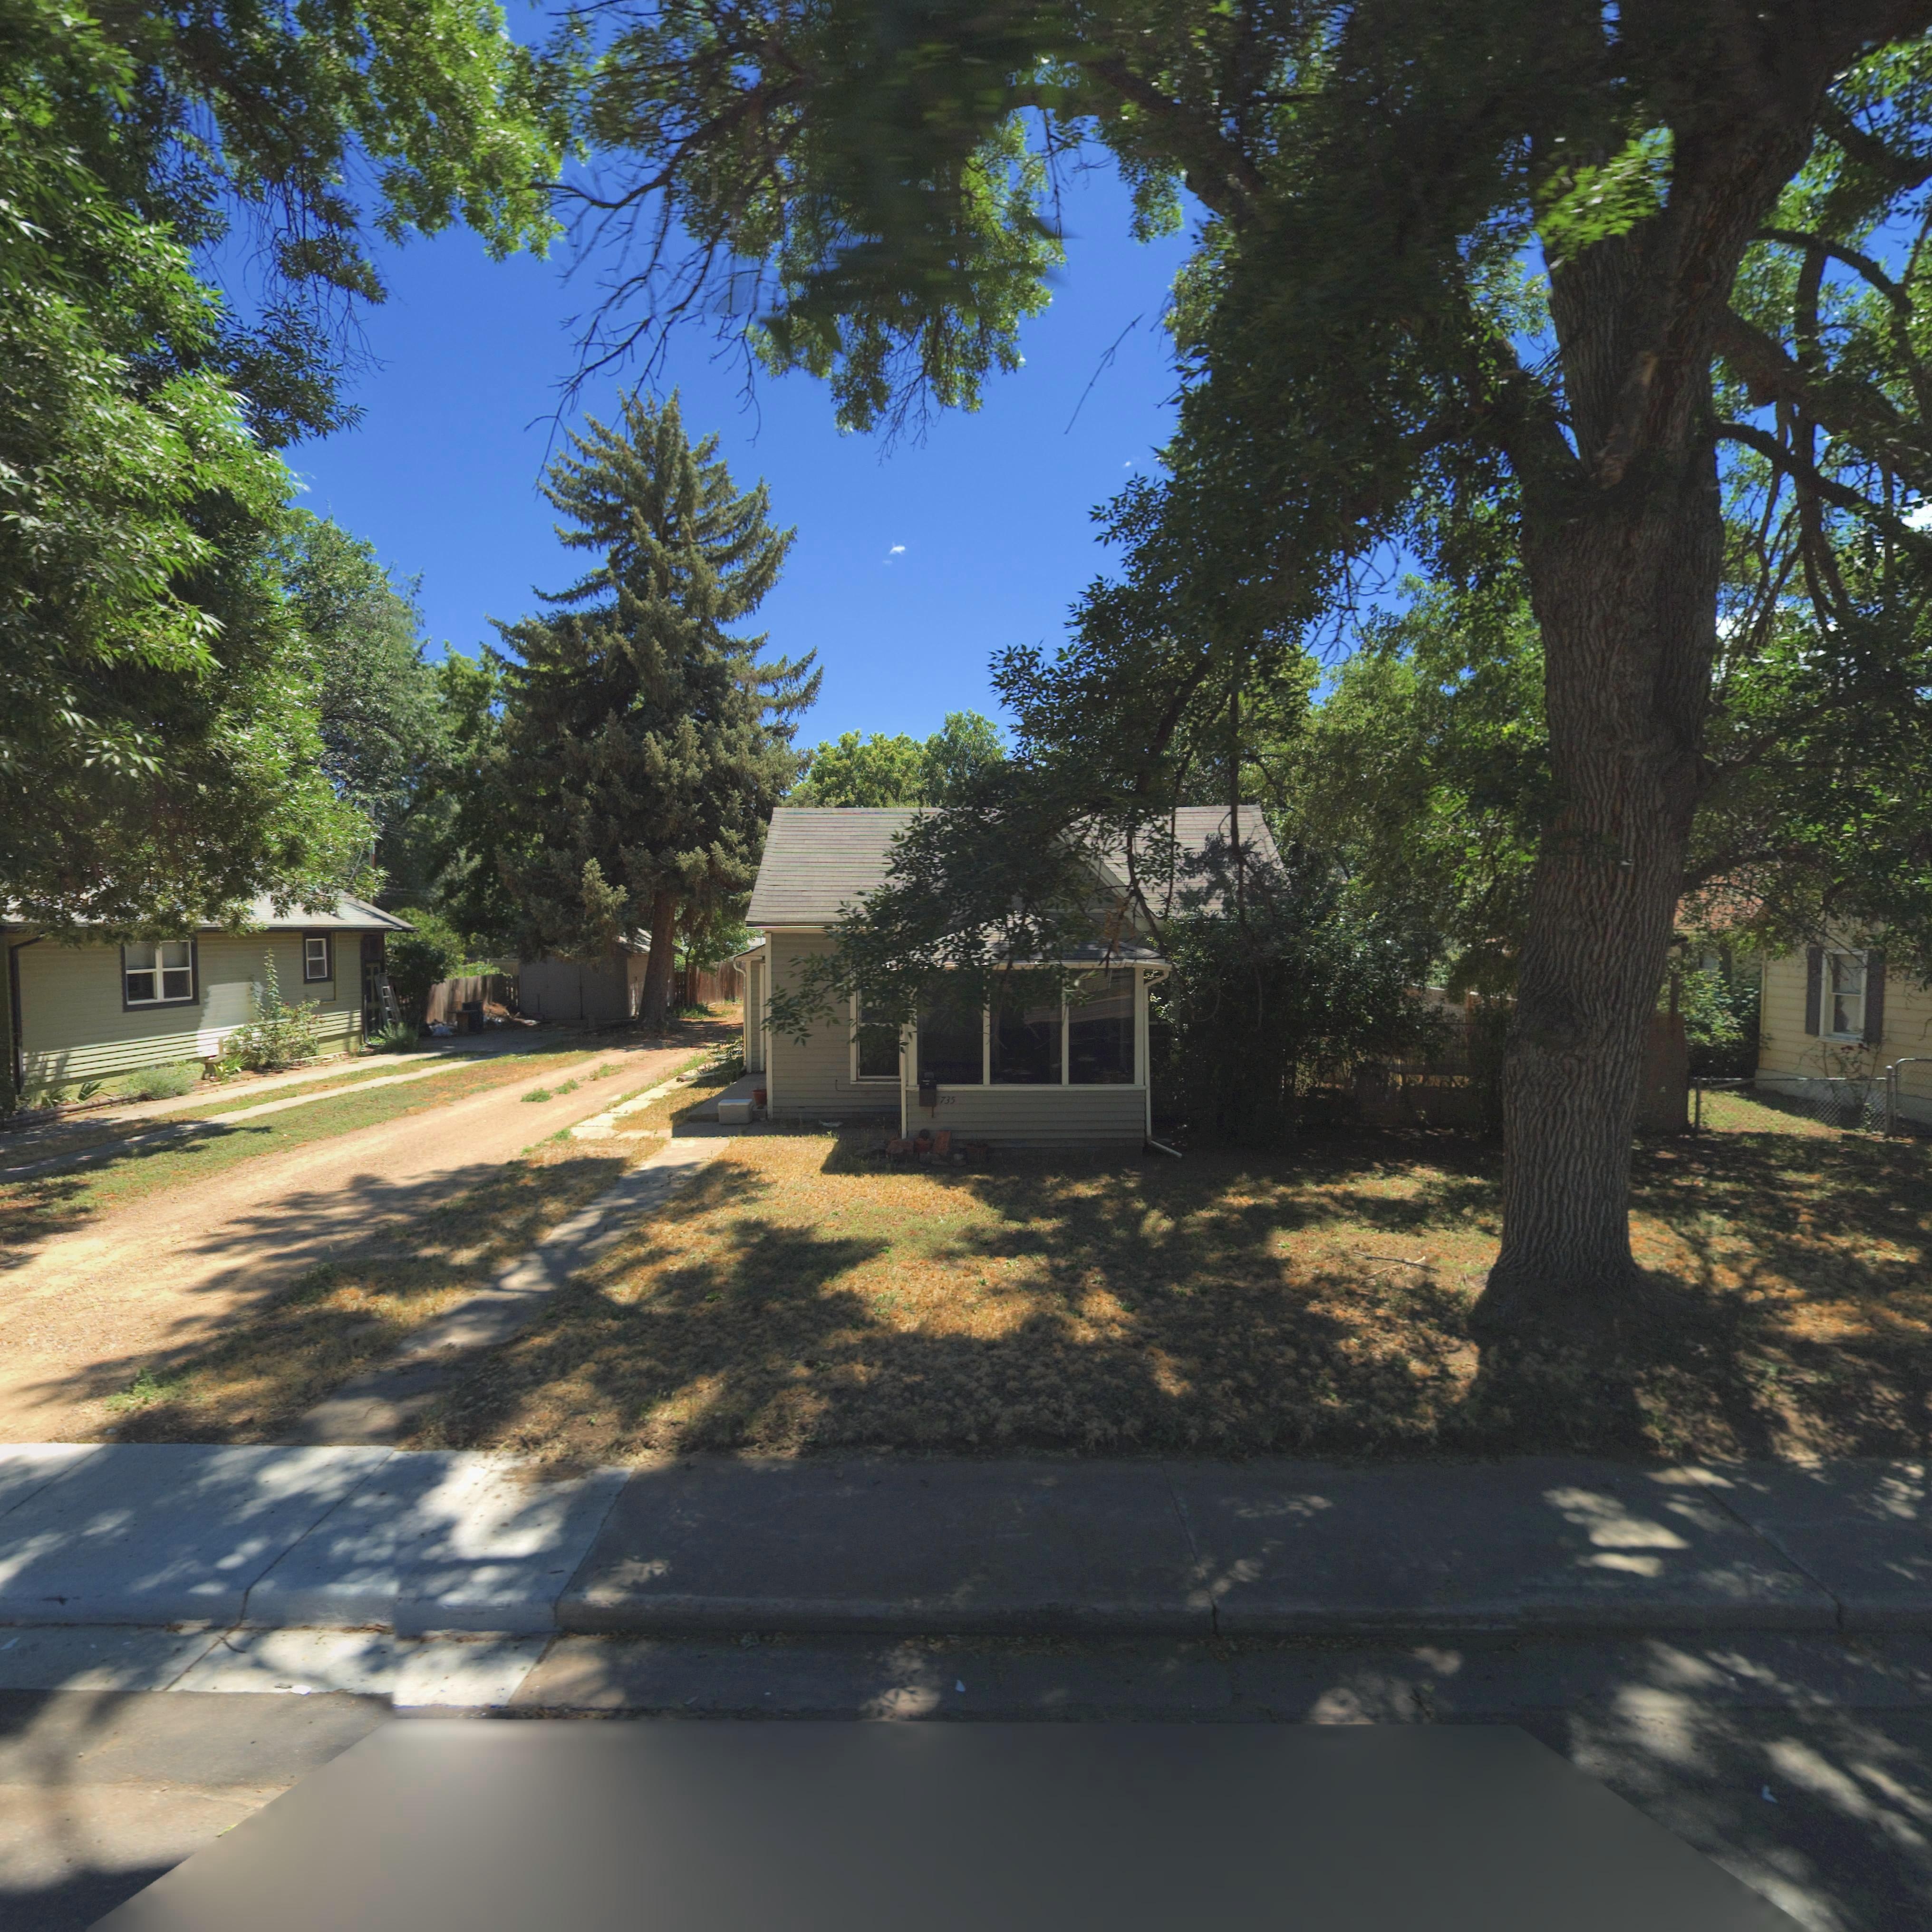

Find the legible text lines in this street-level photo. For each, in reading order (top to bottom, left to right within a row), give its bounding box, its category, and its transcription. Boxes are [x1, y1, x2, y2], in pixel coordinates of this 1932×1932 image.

[939, 1096, 956, 1104] StreetNumber: 735